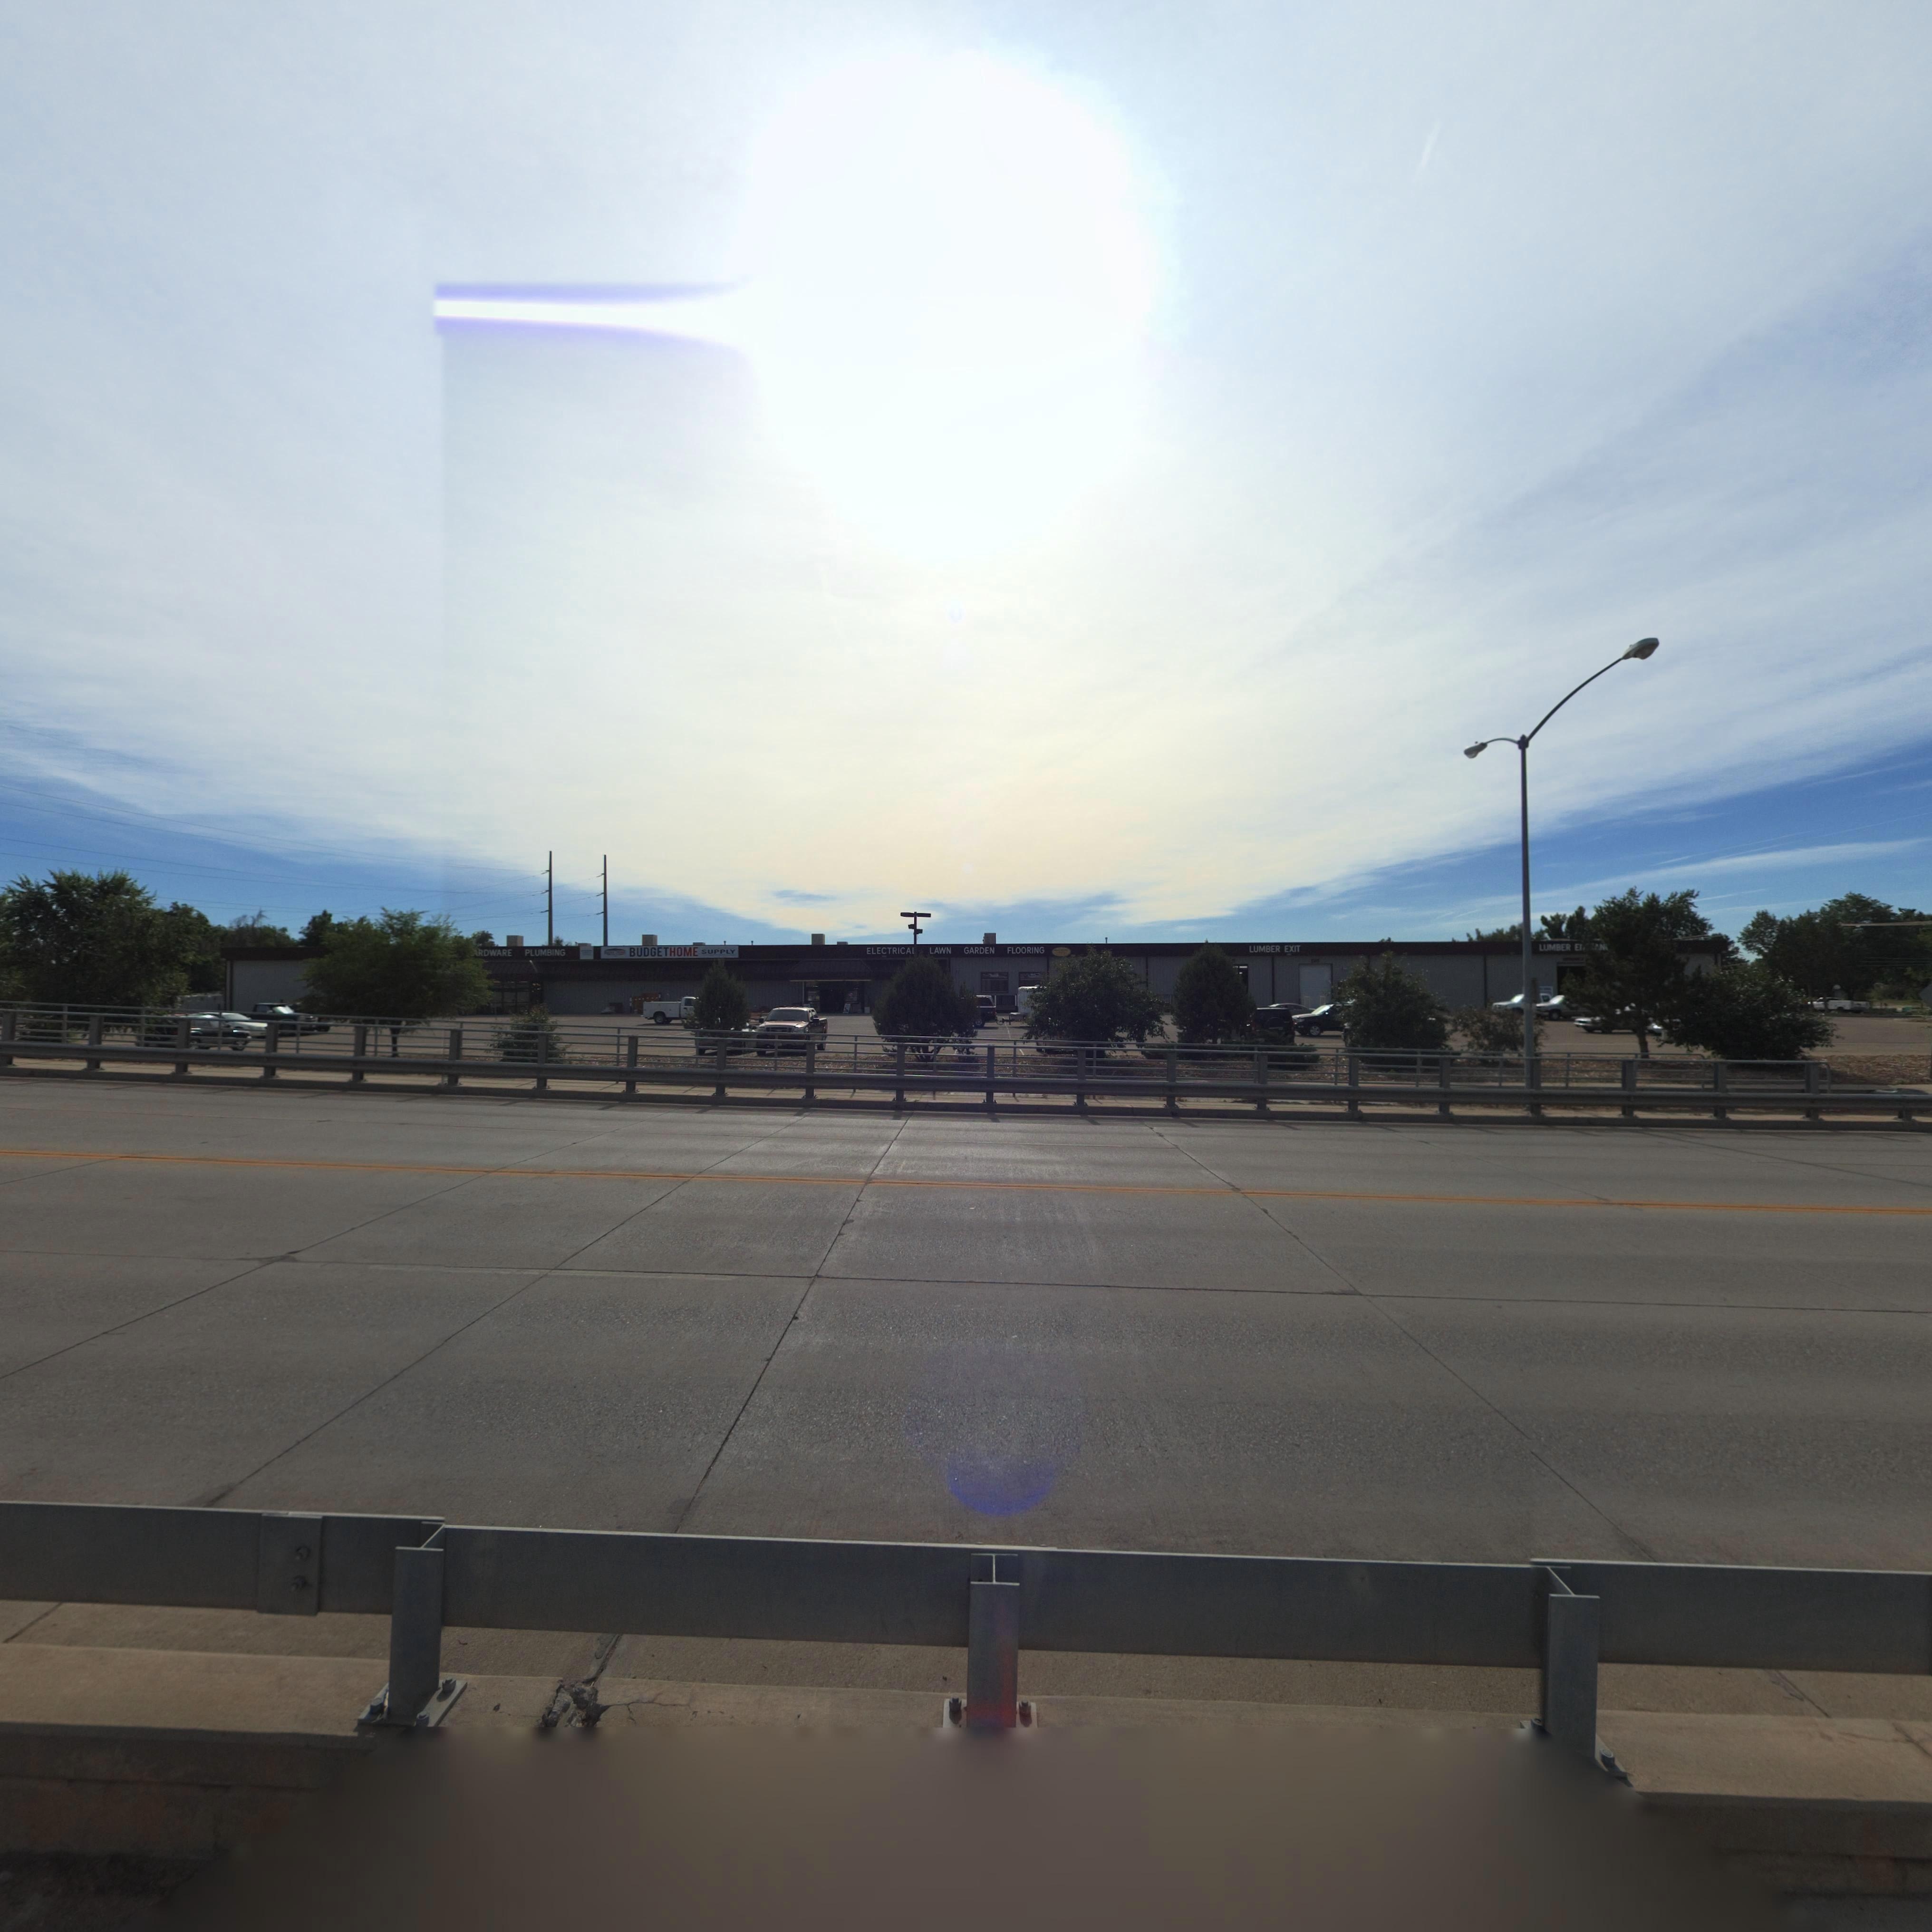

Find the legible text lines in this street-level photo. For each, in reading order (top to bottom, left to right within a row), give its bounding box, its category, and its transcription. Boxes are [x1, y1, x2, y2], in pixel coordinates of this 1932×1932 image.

[628, 947, 698, 956] BusinessName: BUDGETHOME
[701, 948, 735, 954] BusinessName: SUPPLY